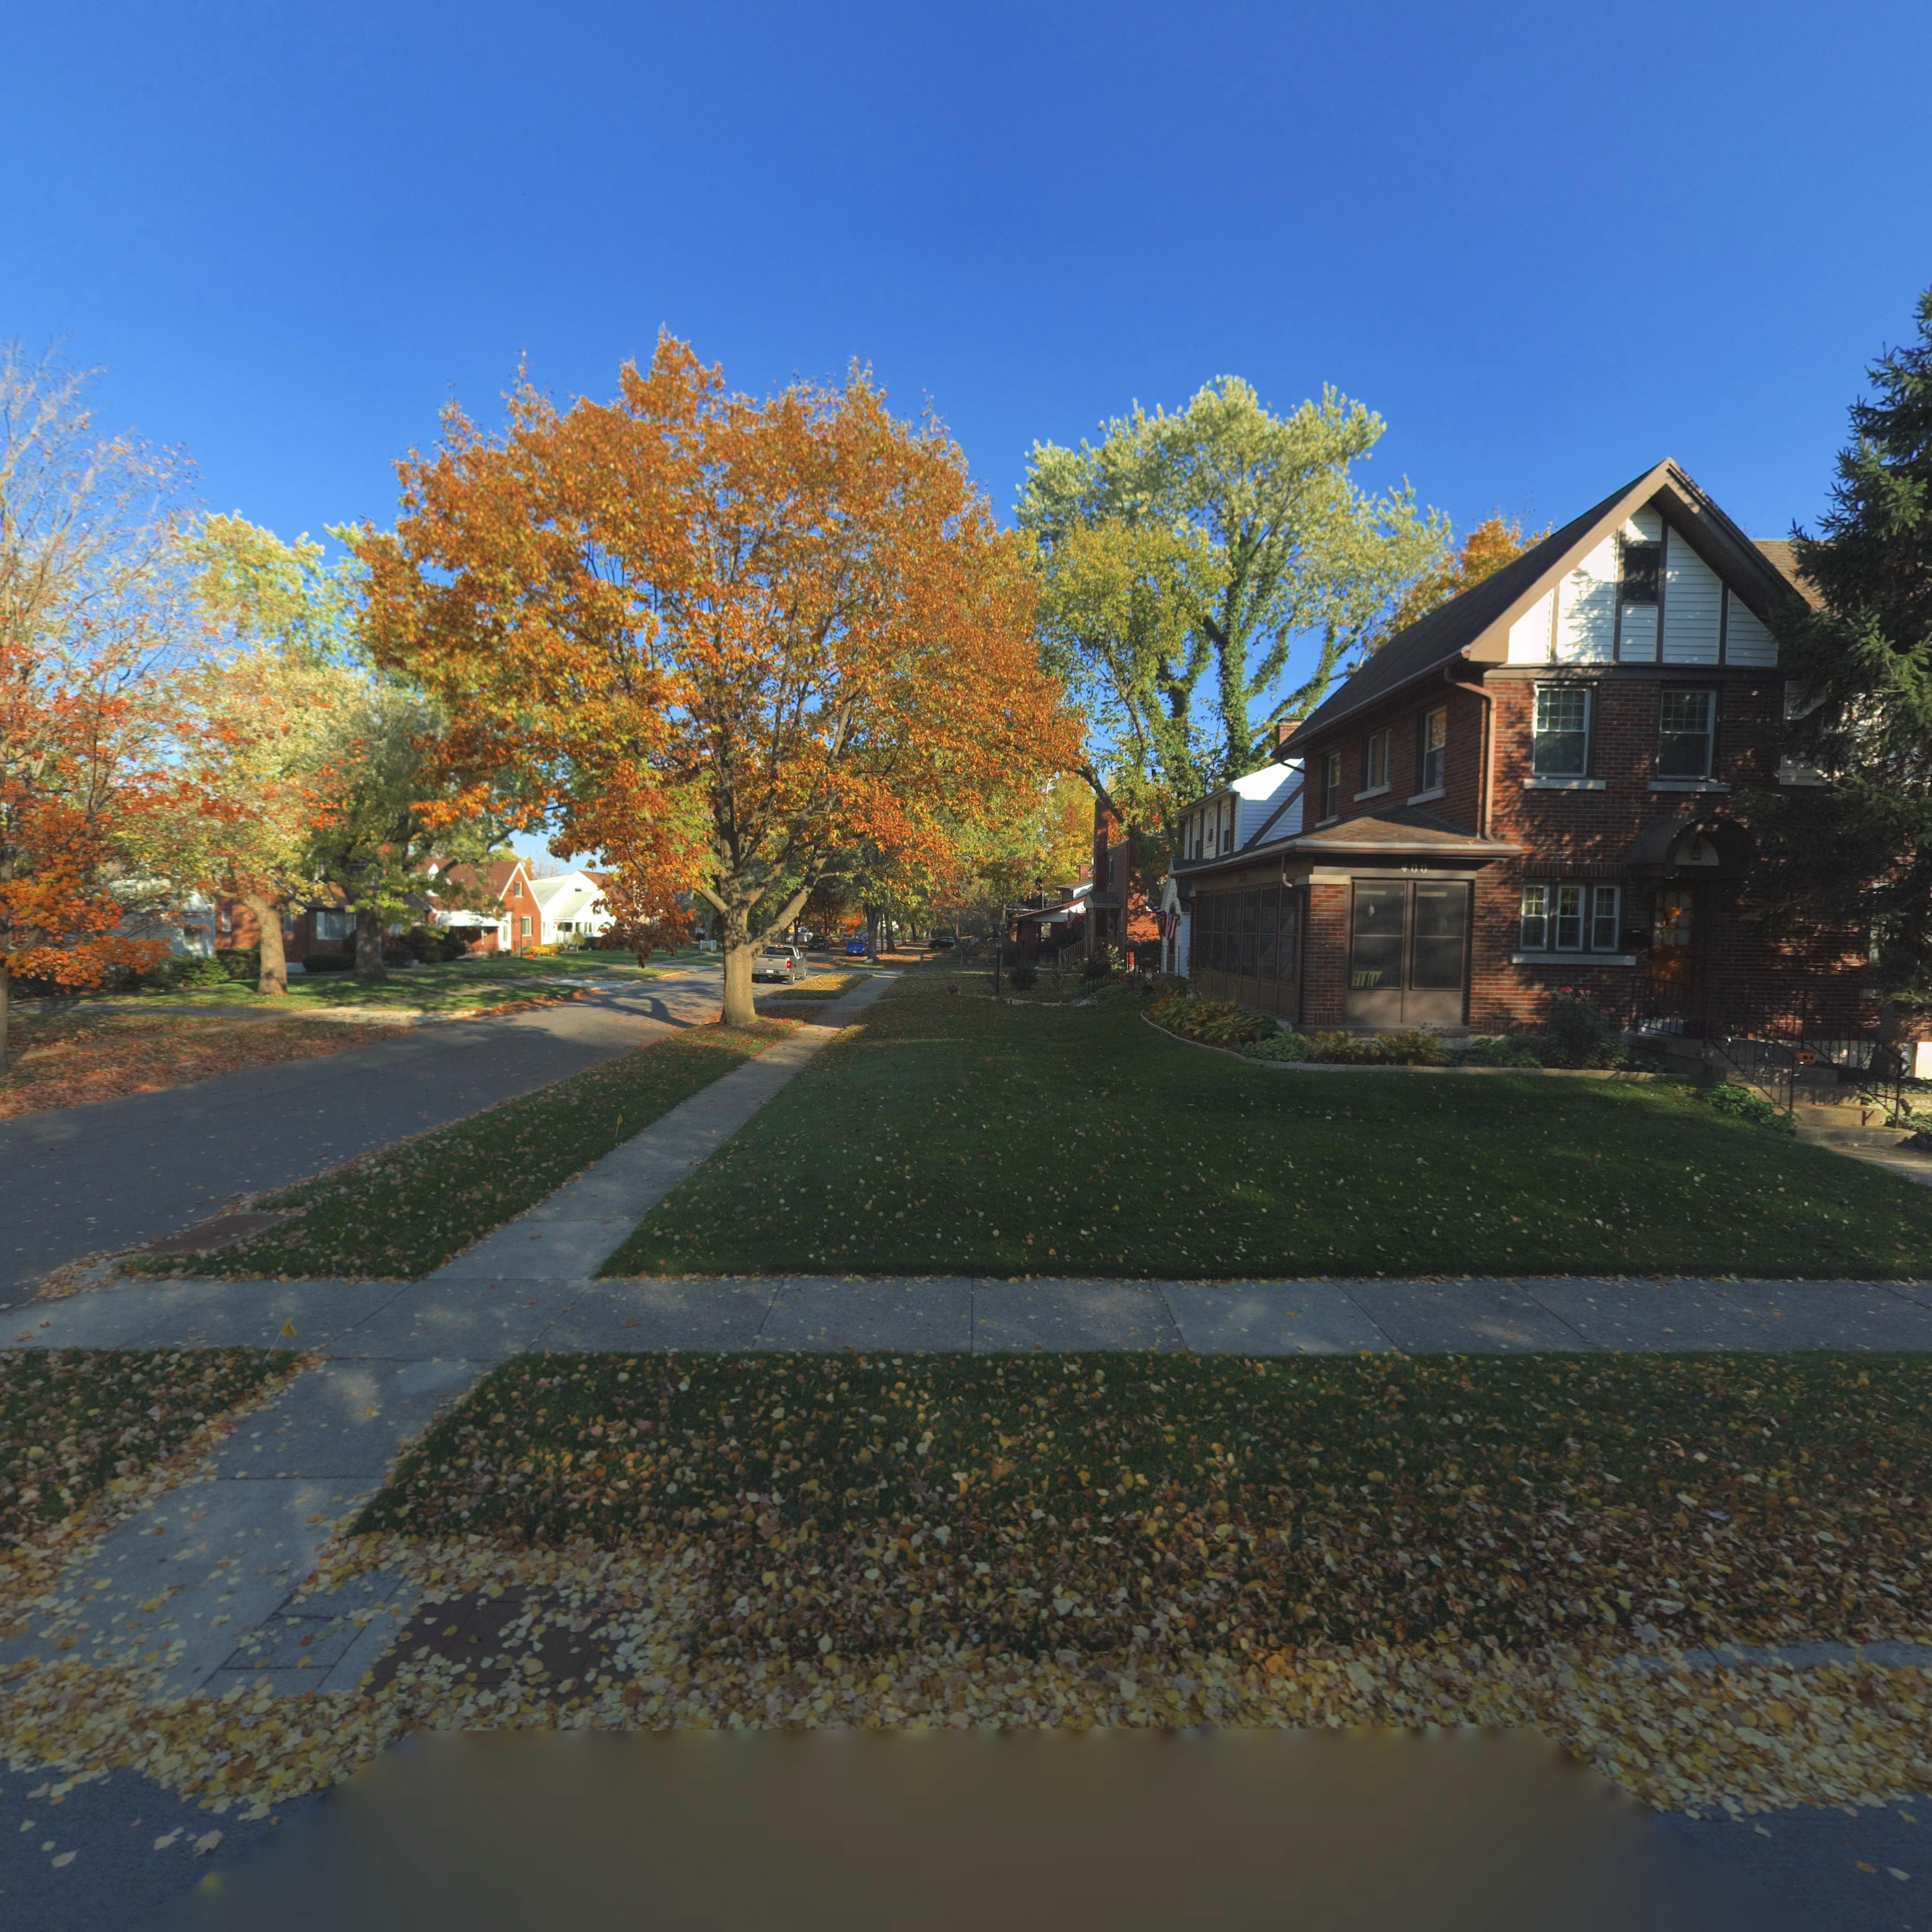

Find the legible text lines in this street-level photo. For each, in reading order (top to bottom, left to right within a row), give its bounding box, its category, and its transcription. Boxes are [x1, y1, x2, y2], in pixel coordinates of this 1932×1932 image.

[1400, 862, 1429, 875] StreetNumber: 400